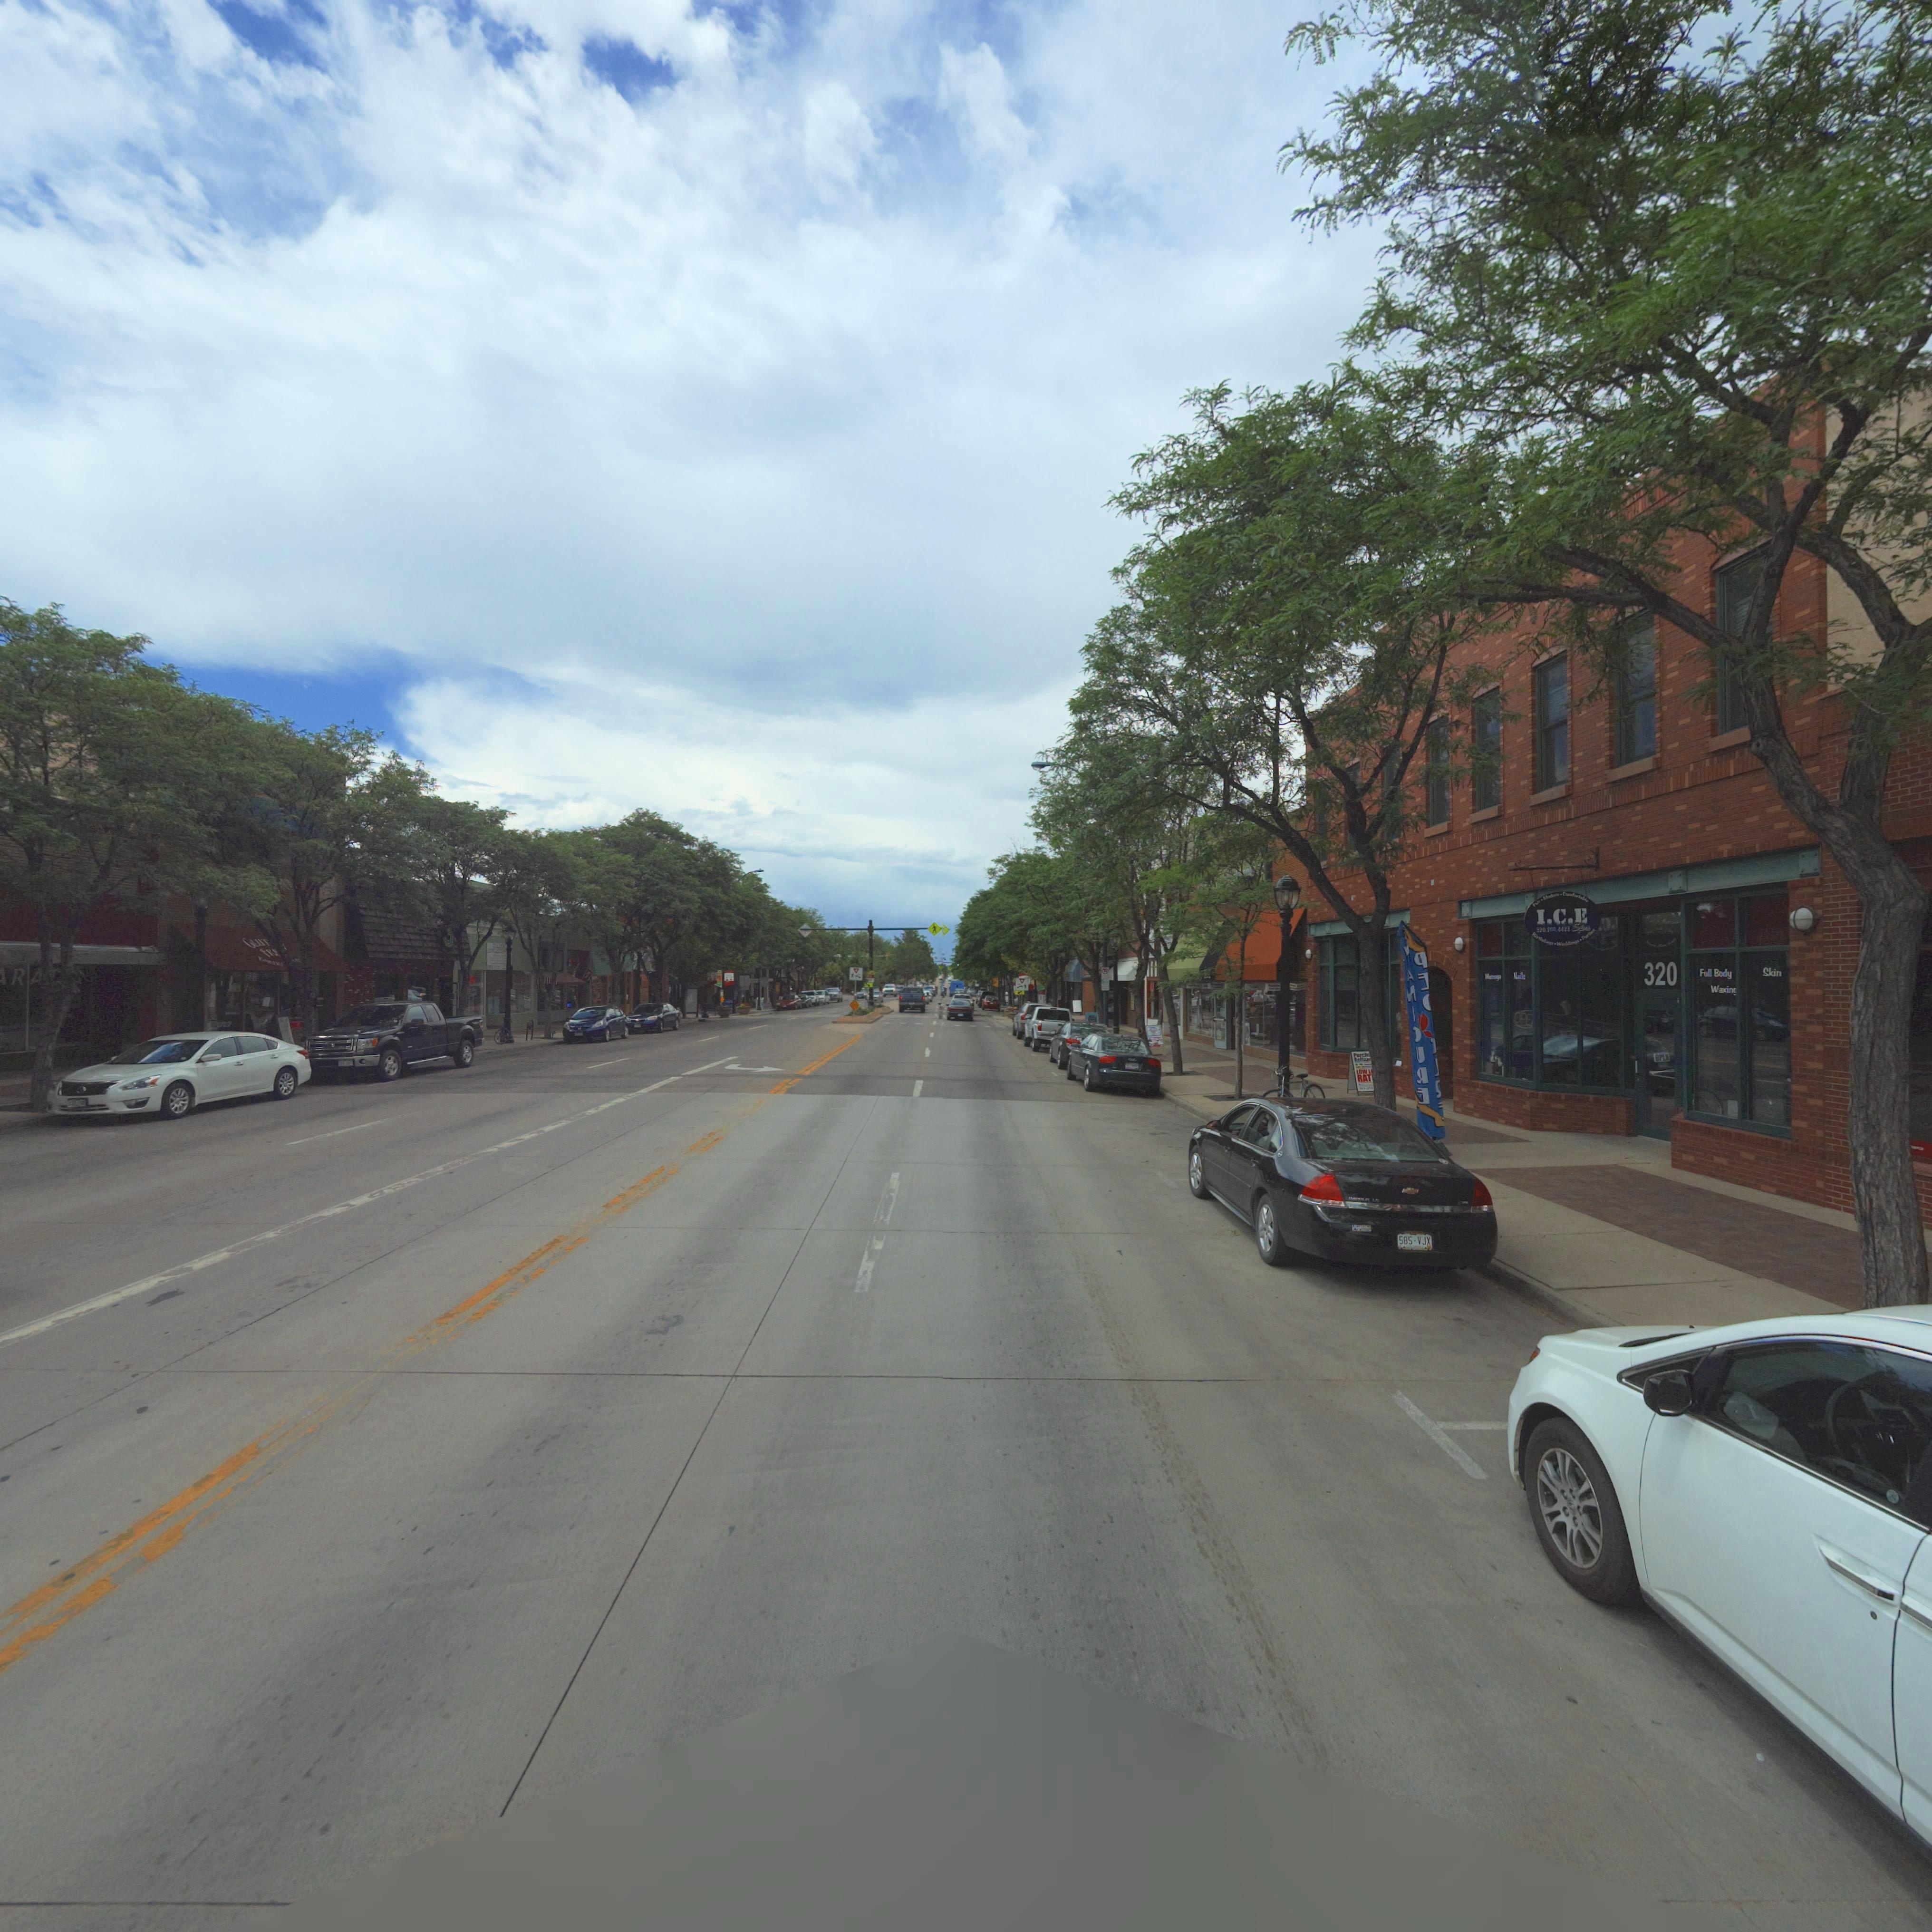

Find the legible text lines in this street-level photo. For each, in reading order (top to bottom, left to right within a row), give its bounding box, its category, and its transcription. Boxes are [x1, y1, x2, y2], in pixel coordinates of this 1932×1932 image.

[1536, 907, 1587, 925] BusinessName: I.C.E
[1571, 922, 1592, 934] BusinessName: Sp*
[1643, 961, 1678, 986] StreetNumber: 320